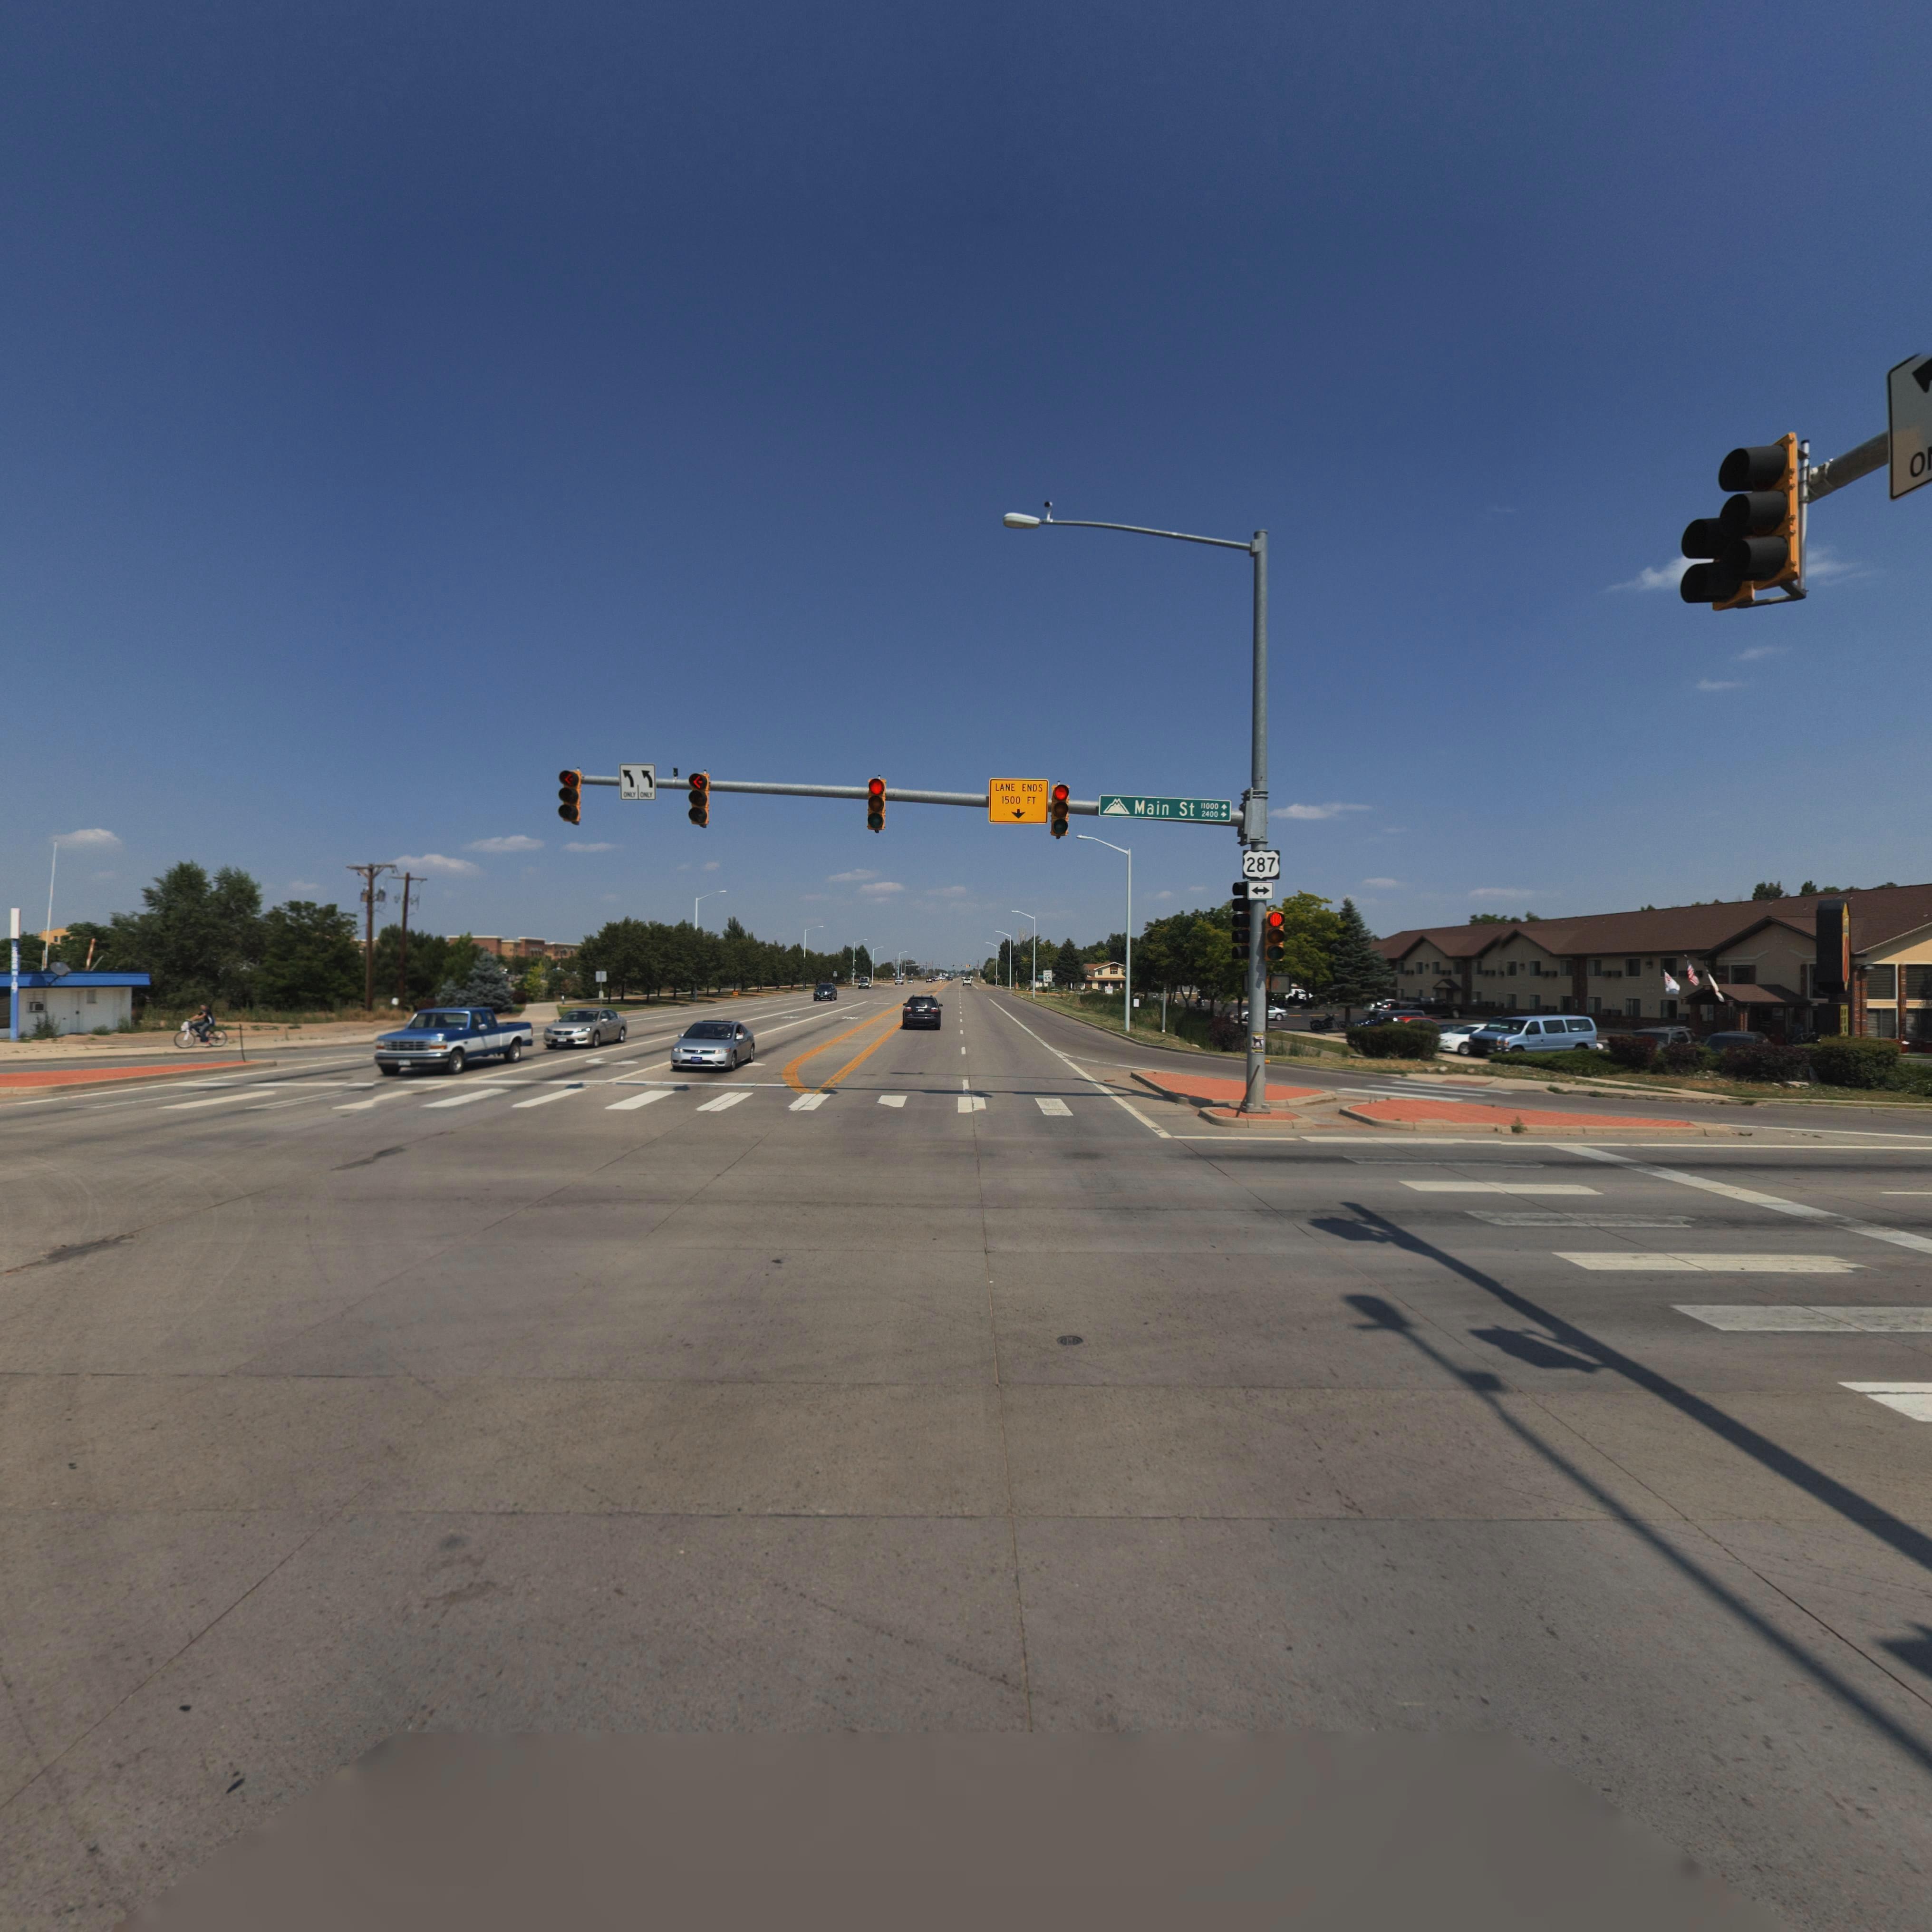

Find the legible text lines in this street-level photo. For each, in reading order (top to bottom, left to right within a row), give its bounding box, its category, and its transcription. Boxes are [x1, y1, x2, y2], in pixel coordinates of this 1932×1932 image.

[1134, 799, 1195, 816] StreetName: Main St
[1200, 802, 1219, 810] StreetNumberRange: 11000
[1201, 810, 1227, 818] StreetNumberRange: 2400->